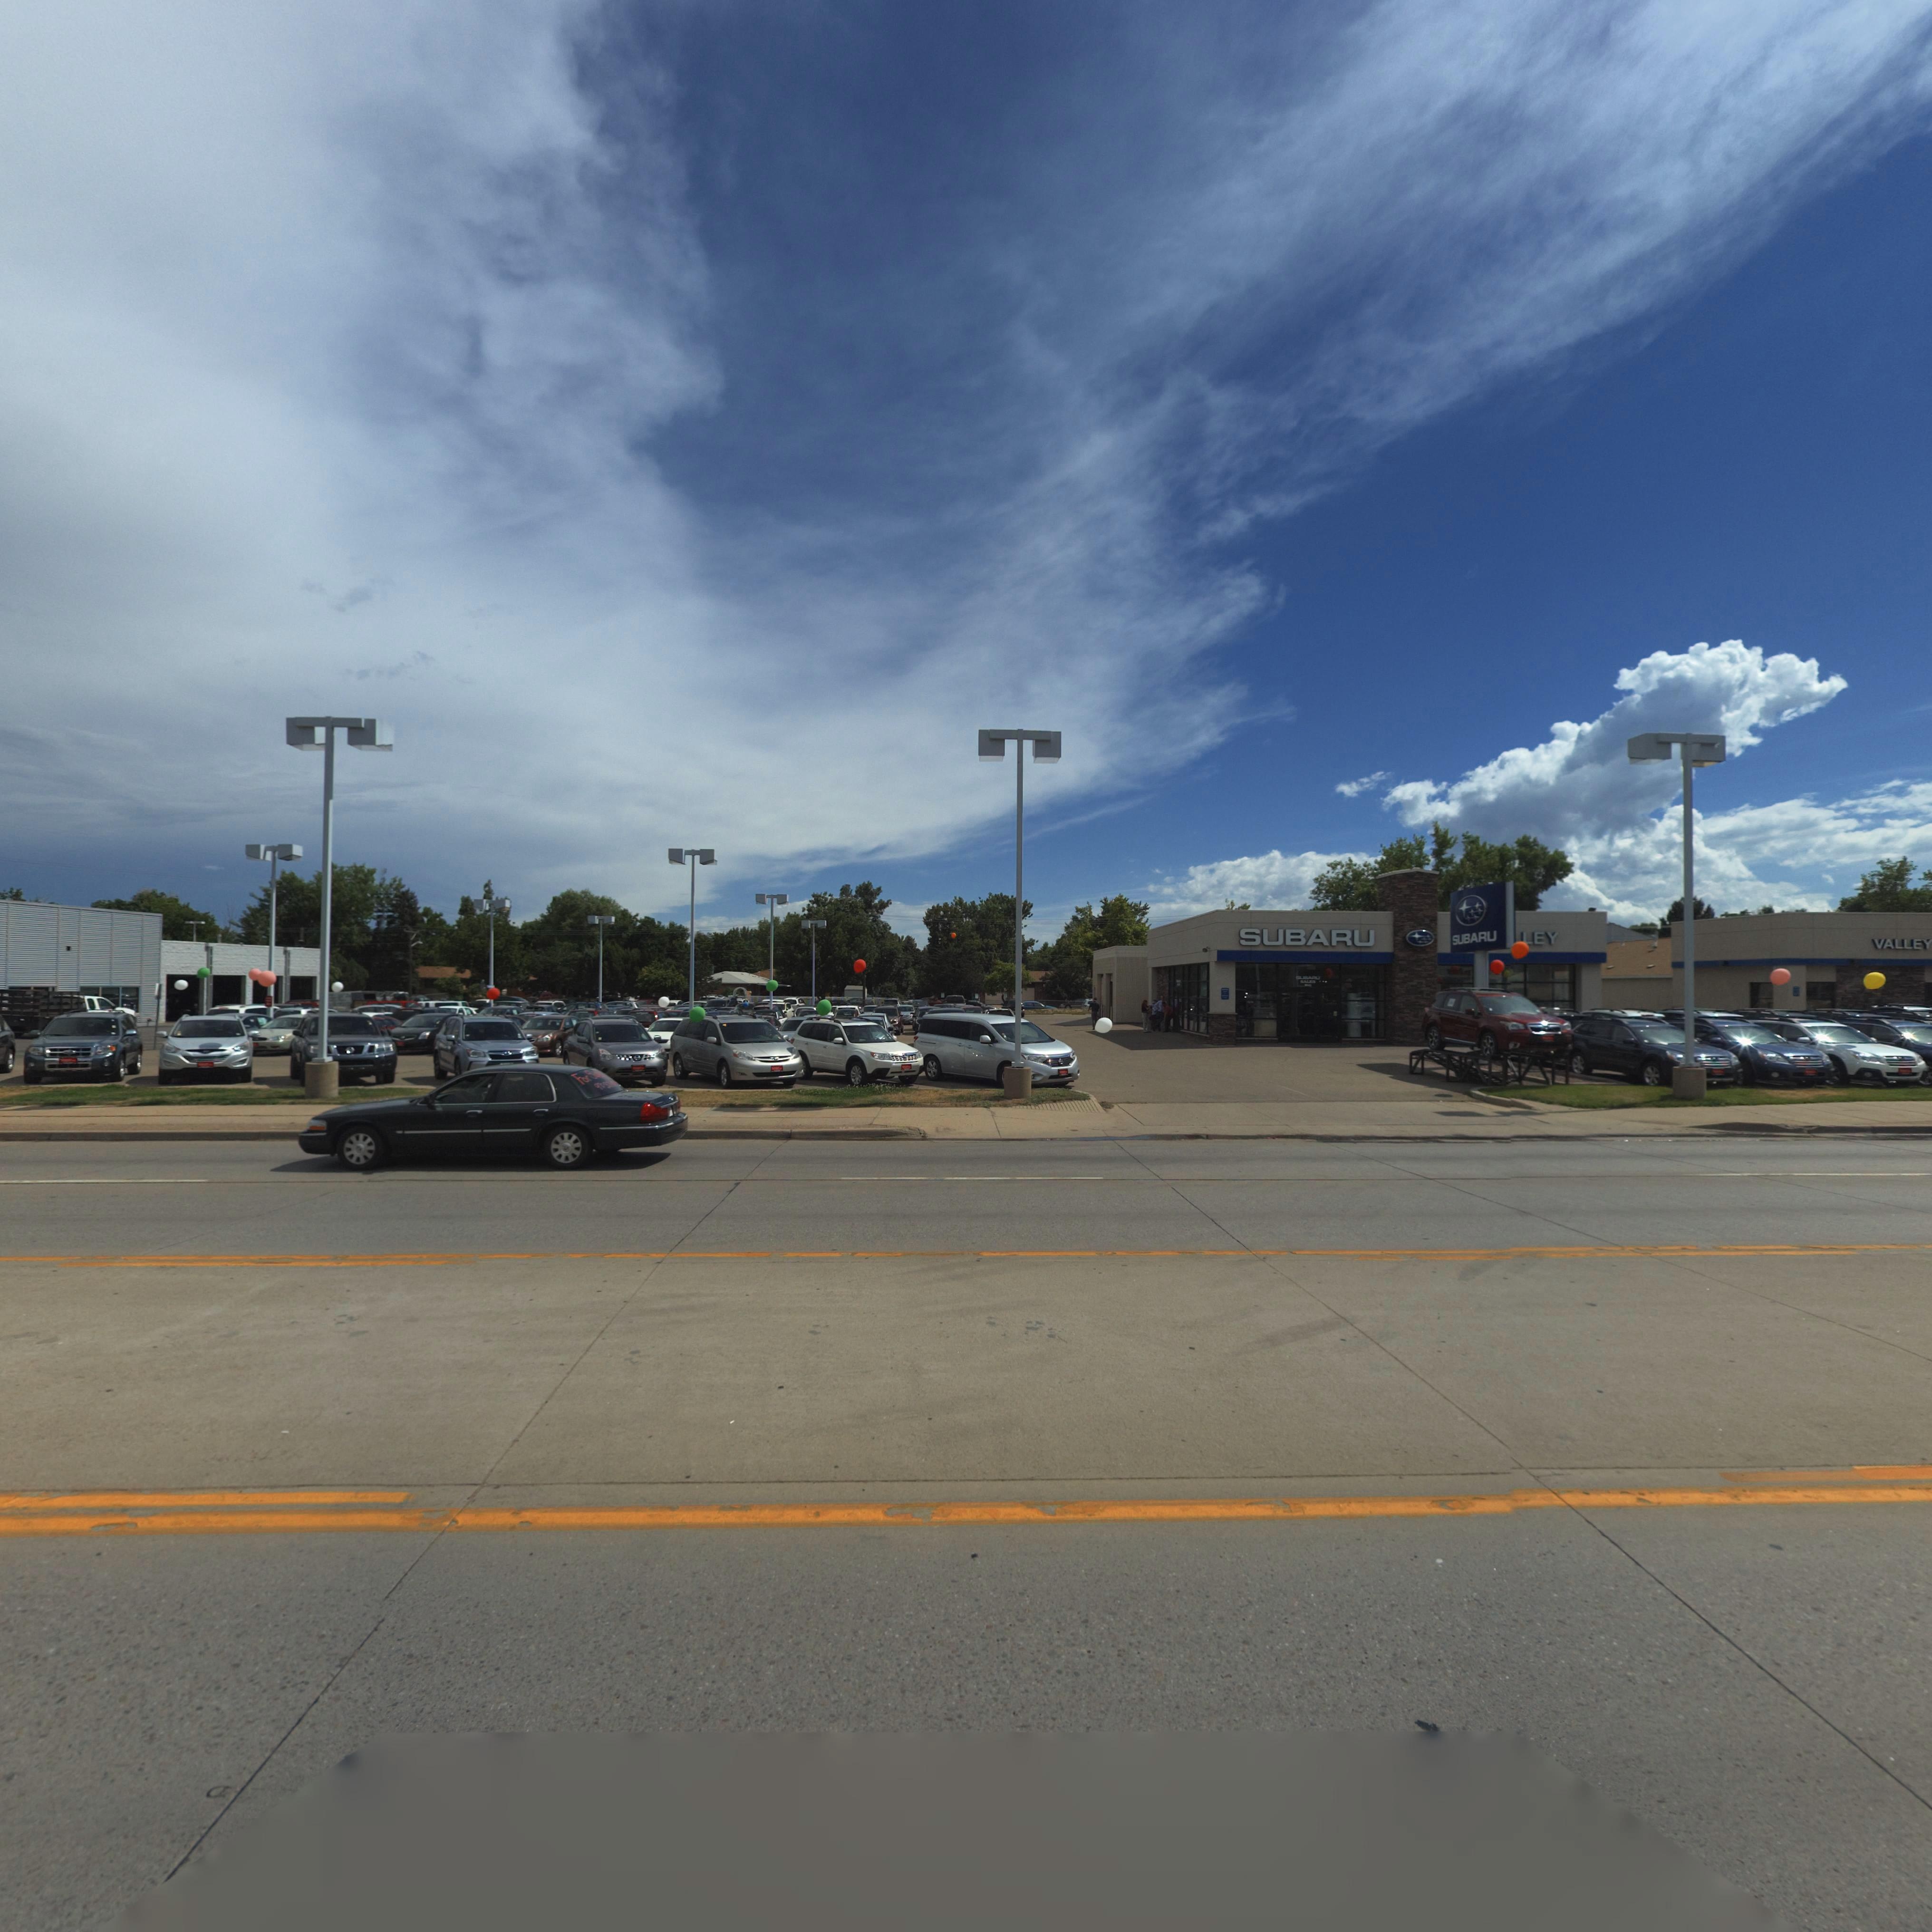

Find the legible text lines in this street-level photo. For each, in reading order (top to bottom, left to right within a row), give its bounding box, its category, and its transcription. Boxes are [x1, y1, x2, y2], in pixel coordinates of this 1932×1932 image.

[1238, 927, 1375, 947] BusinessName: SUBARU
[1452, 929, 1497, 946] BusinessName: SUBARU
[1521, 931, 1558, 945] BusinessName: LEY
[1871, 938, 1923, 949] BusinessName: VALLE